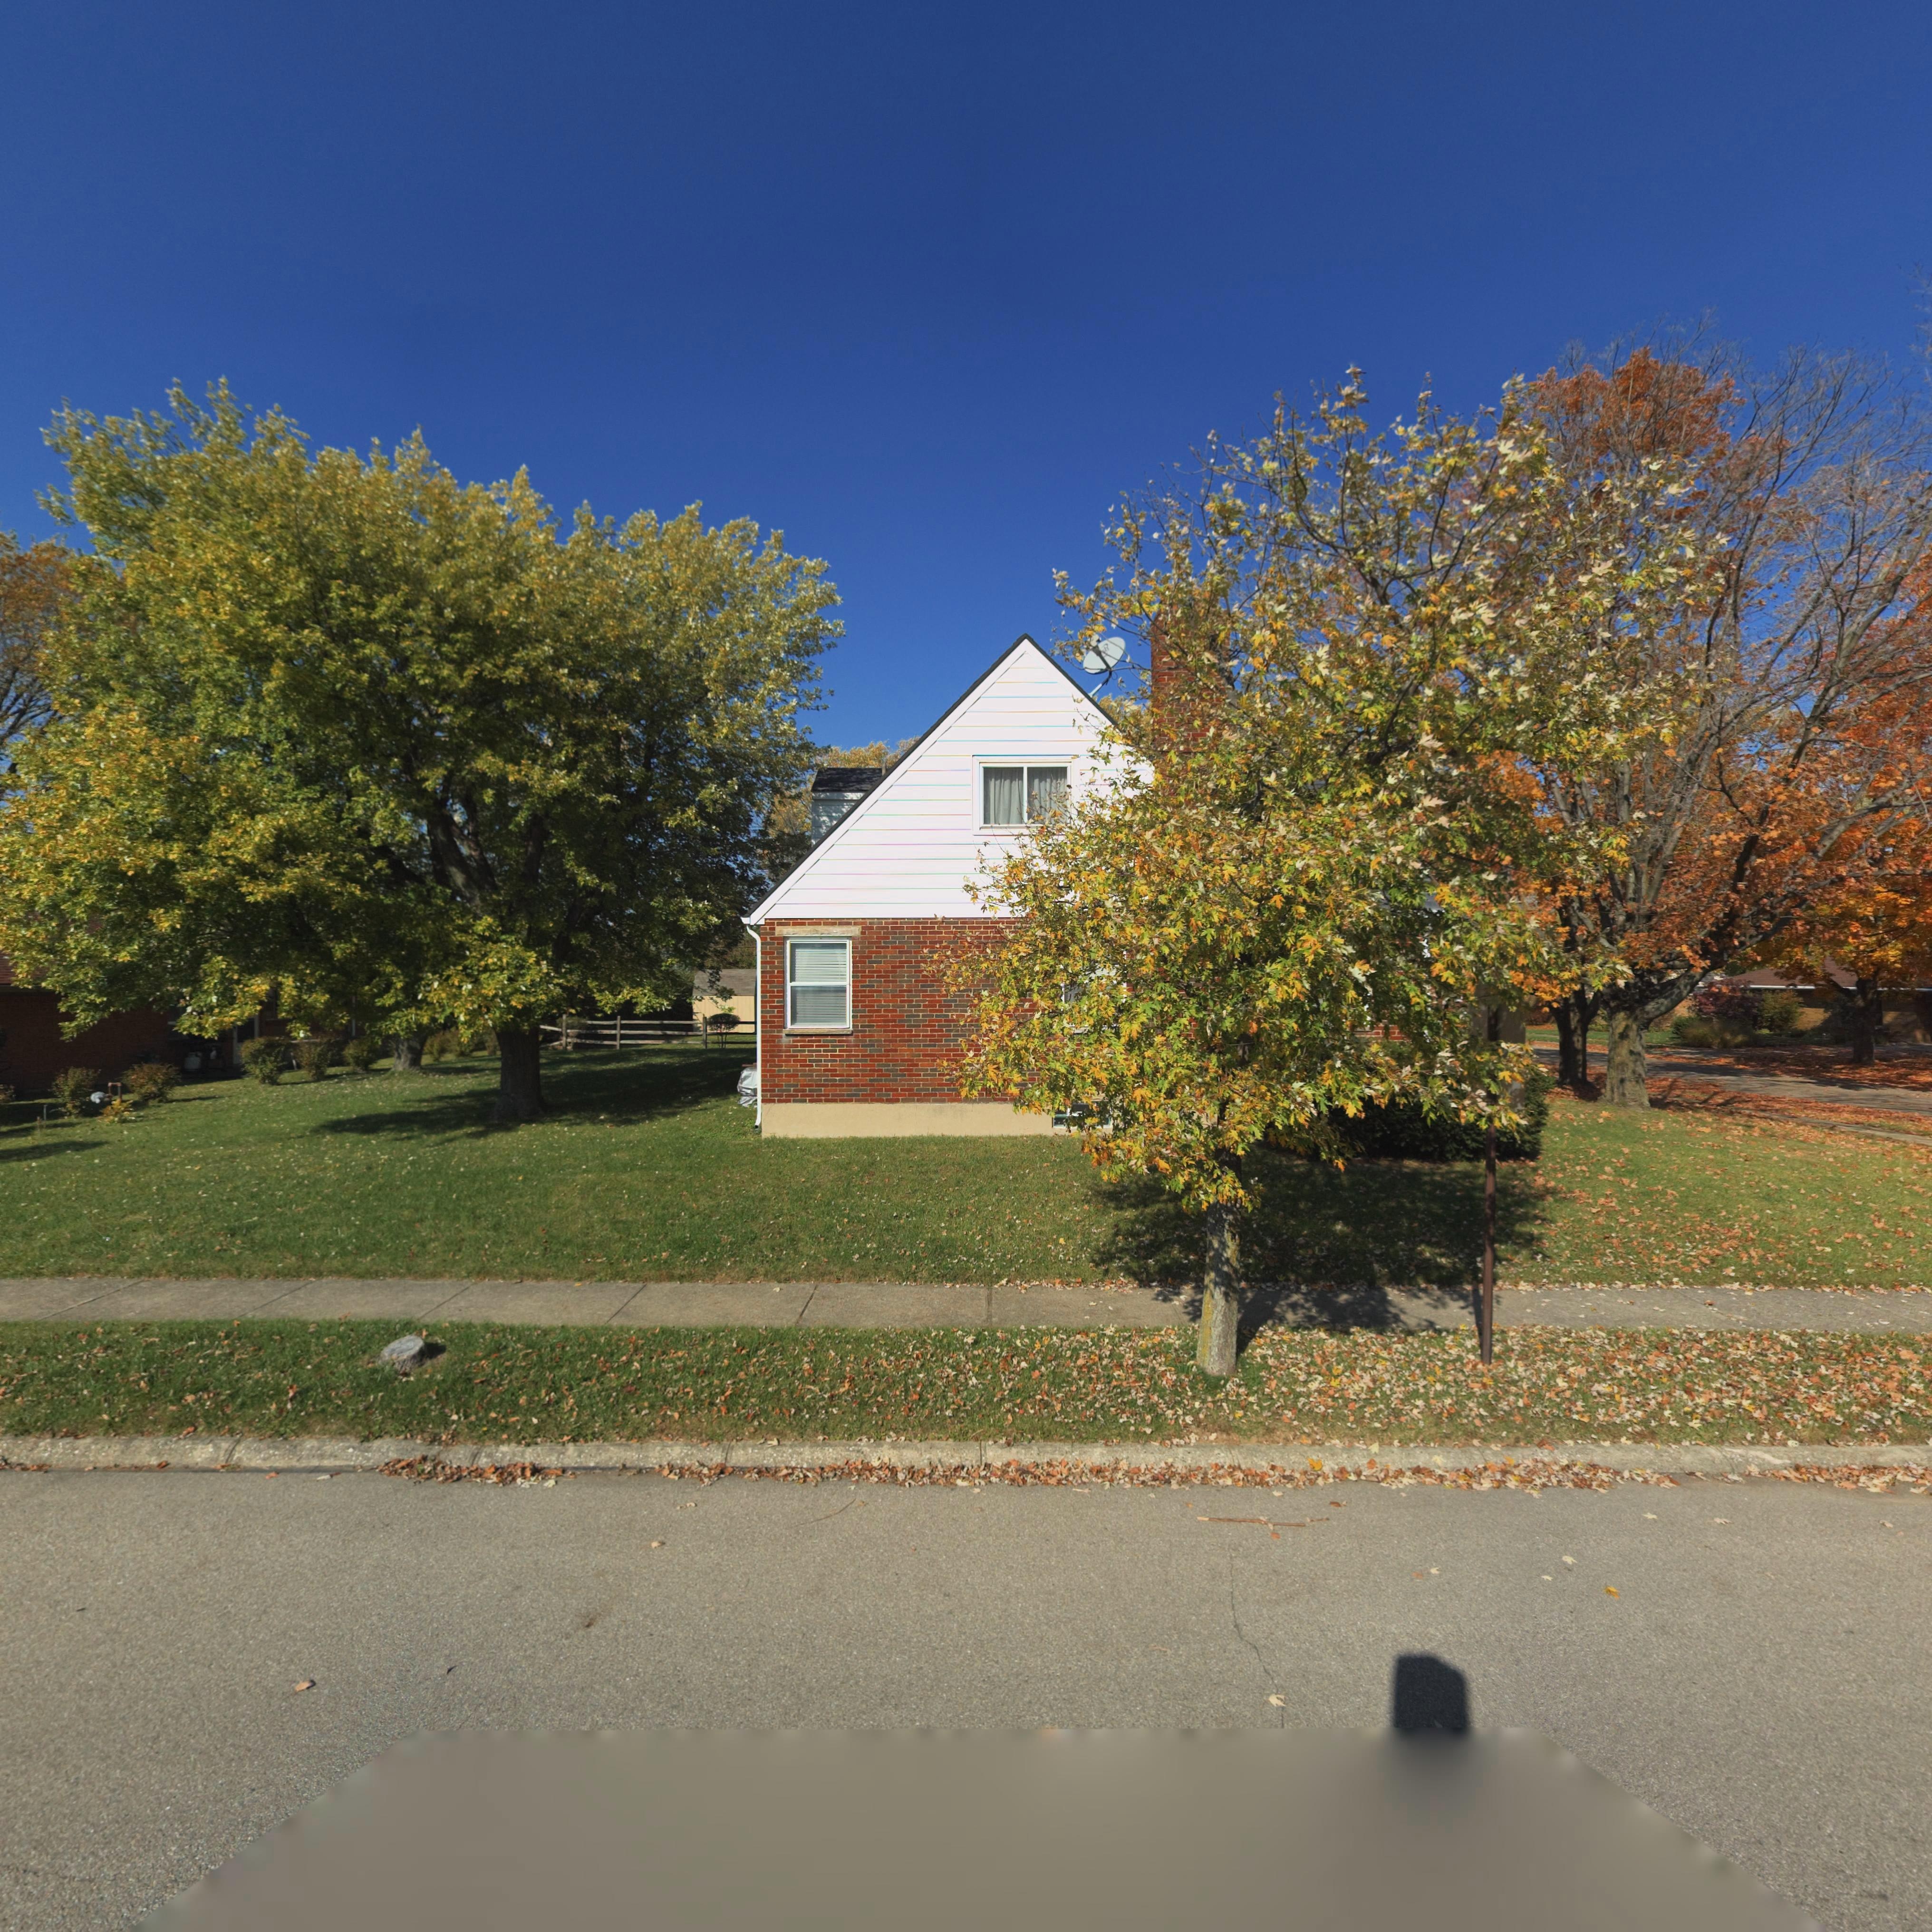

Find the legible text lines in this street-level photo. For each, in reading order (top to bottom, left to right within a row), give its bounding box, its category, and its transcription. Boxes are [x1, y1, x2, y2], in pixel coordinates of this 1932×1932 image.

[1103, 646, 1110, 652] None: h